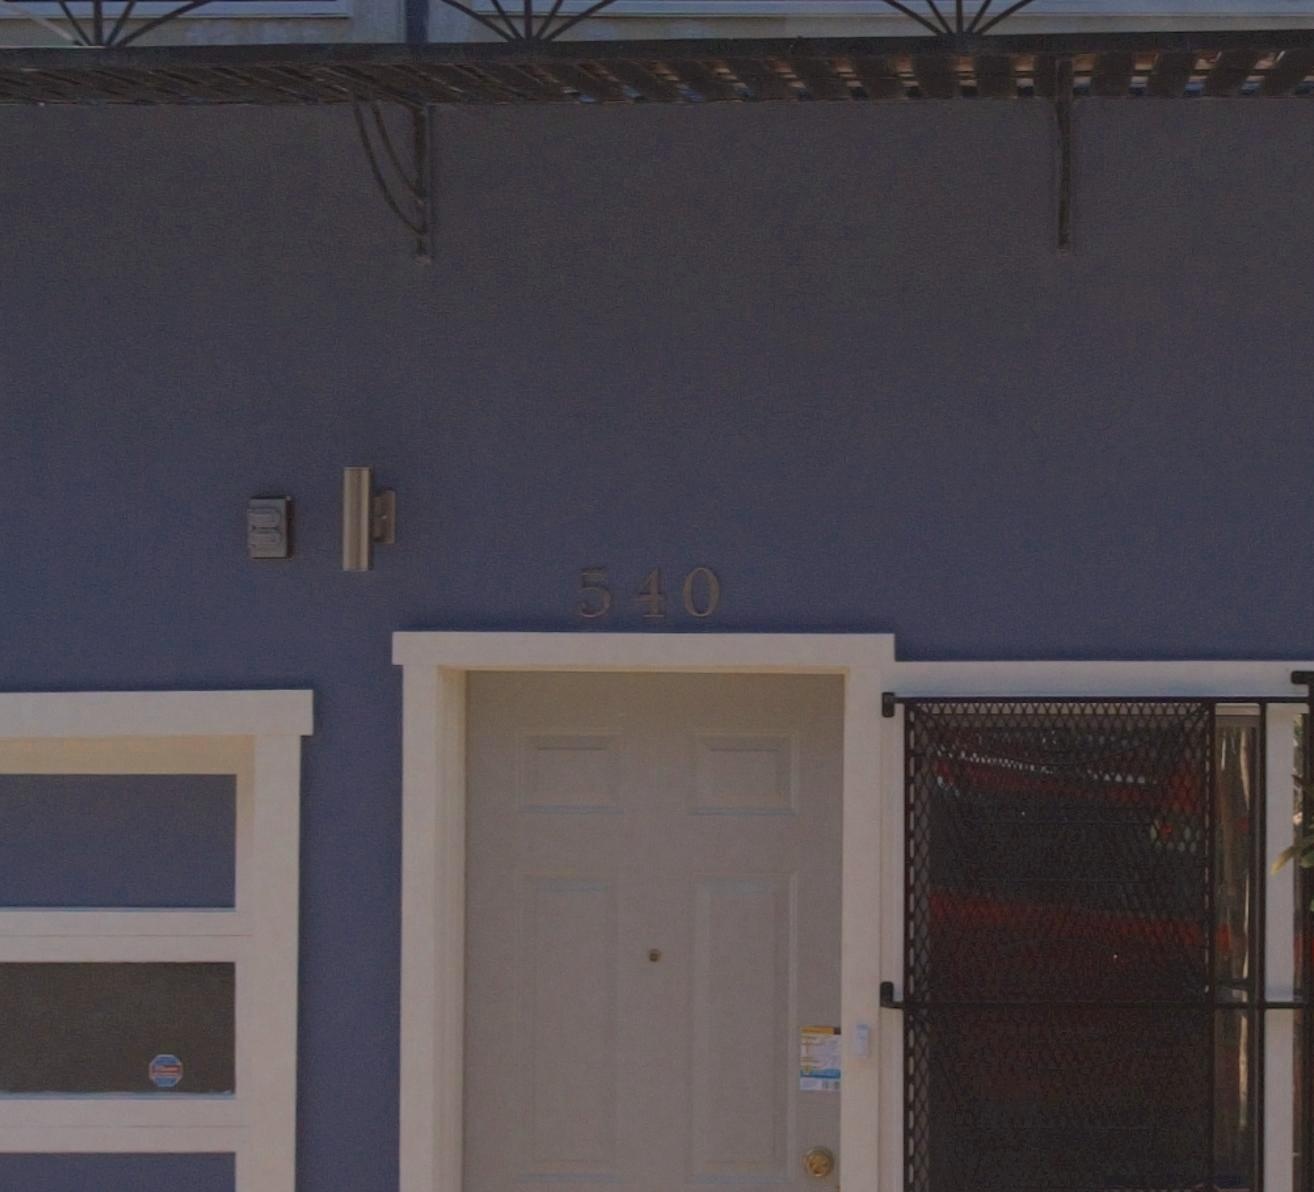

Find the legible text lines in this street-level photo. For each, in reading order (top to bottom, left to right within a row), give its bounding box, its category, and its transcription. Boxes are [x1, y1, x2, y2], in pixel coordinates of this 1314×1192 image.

[577, 564, 722, 620] StreetNumber: 540